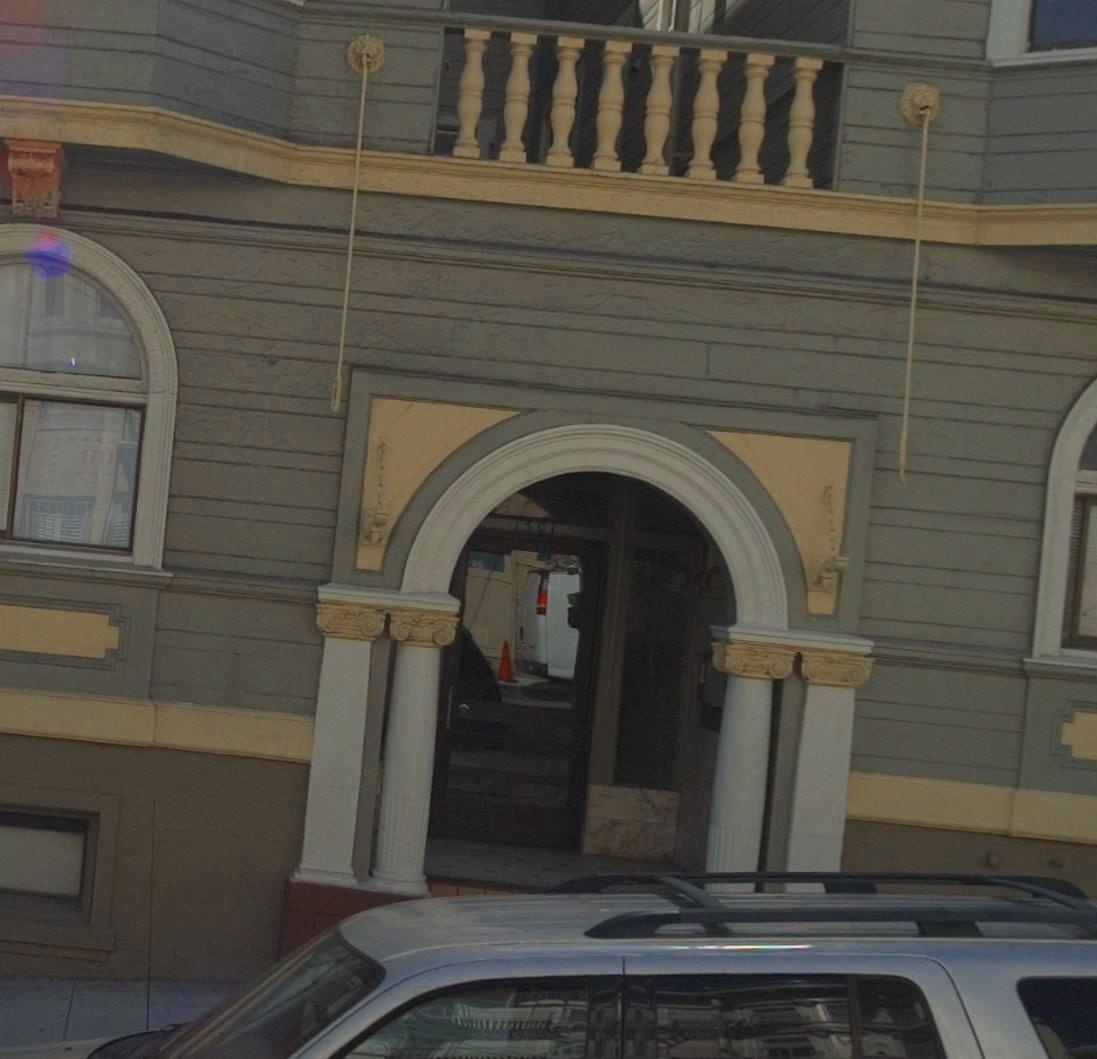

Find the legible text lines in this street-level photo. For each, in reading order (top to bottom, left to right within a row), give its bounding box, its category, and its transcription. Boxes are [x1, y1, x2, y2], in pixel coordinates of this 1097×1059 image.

[512, 519, 557, 536] StreetNumber: 1507